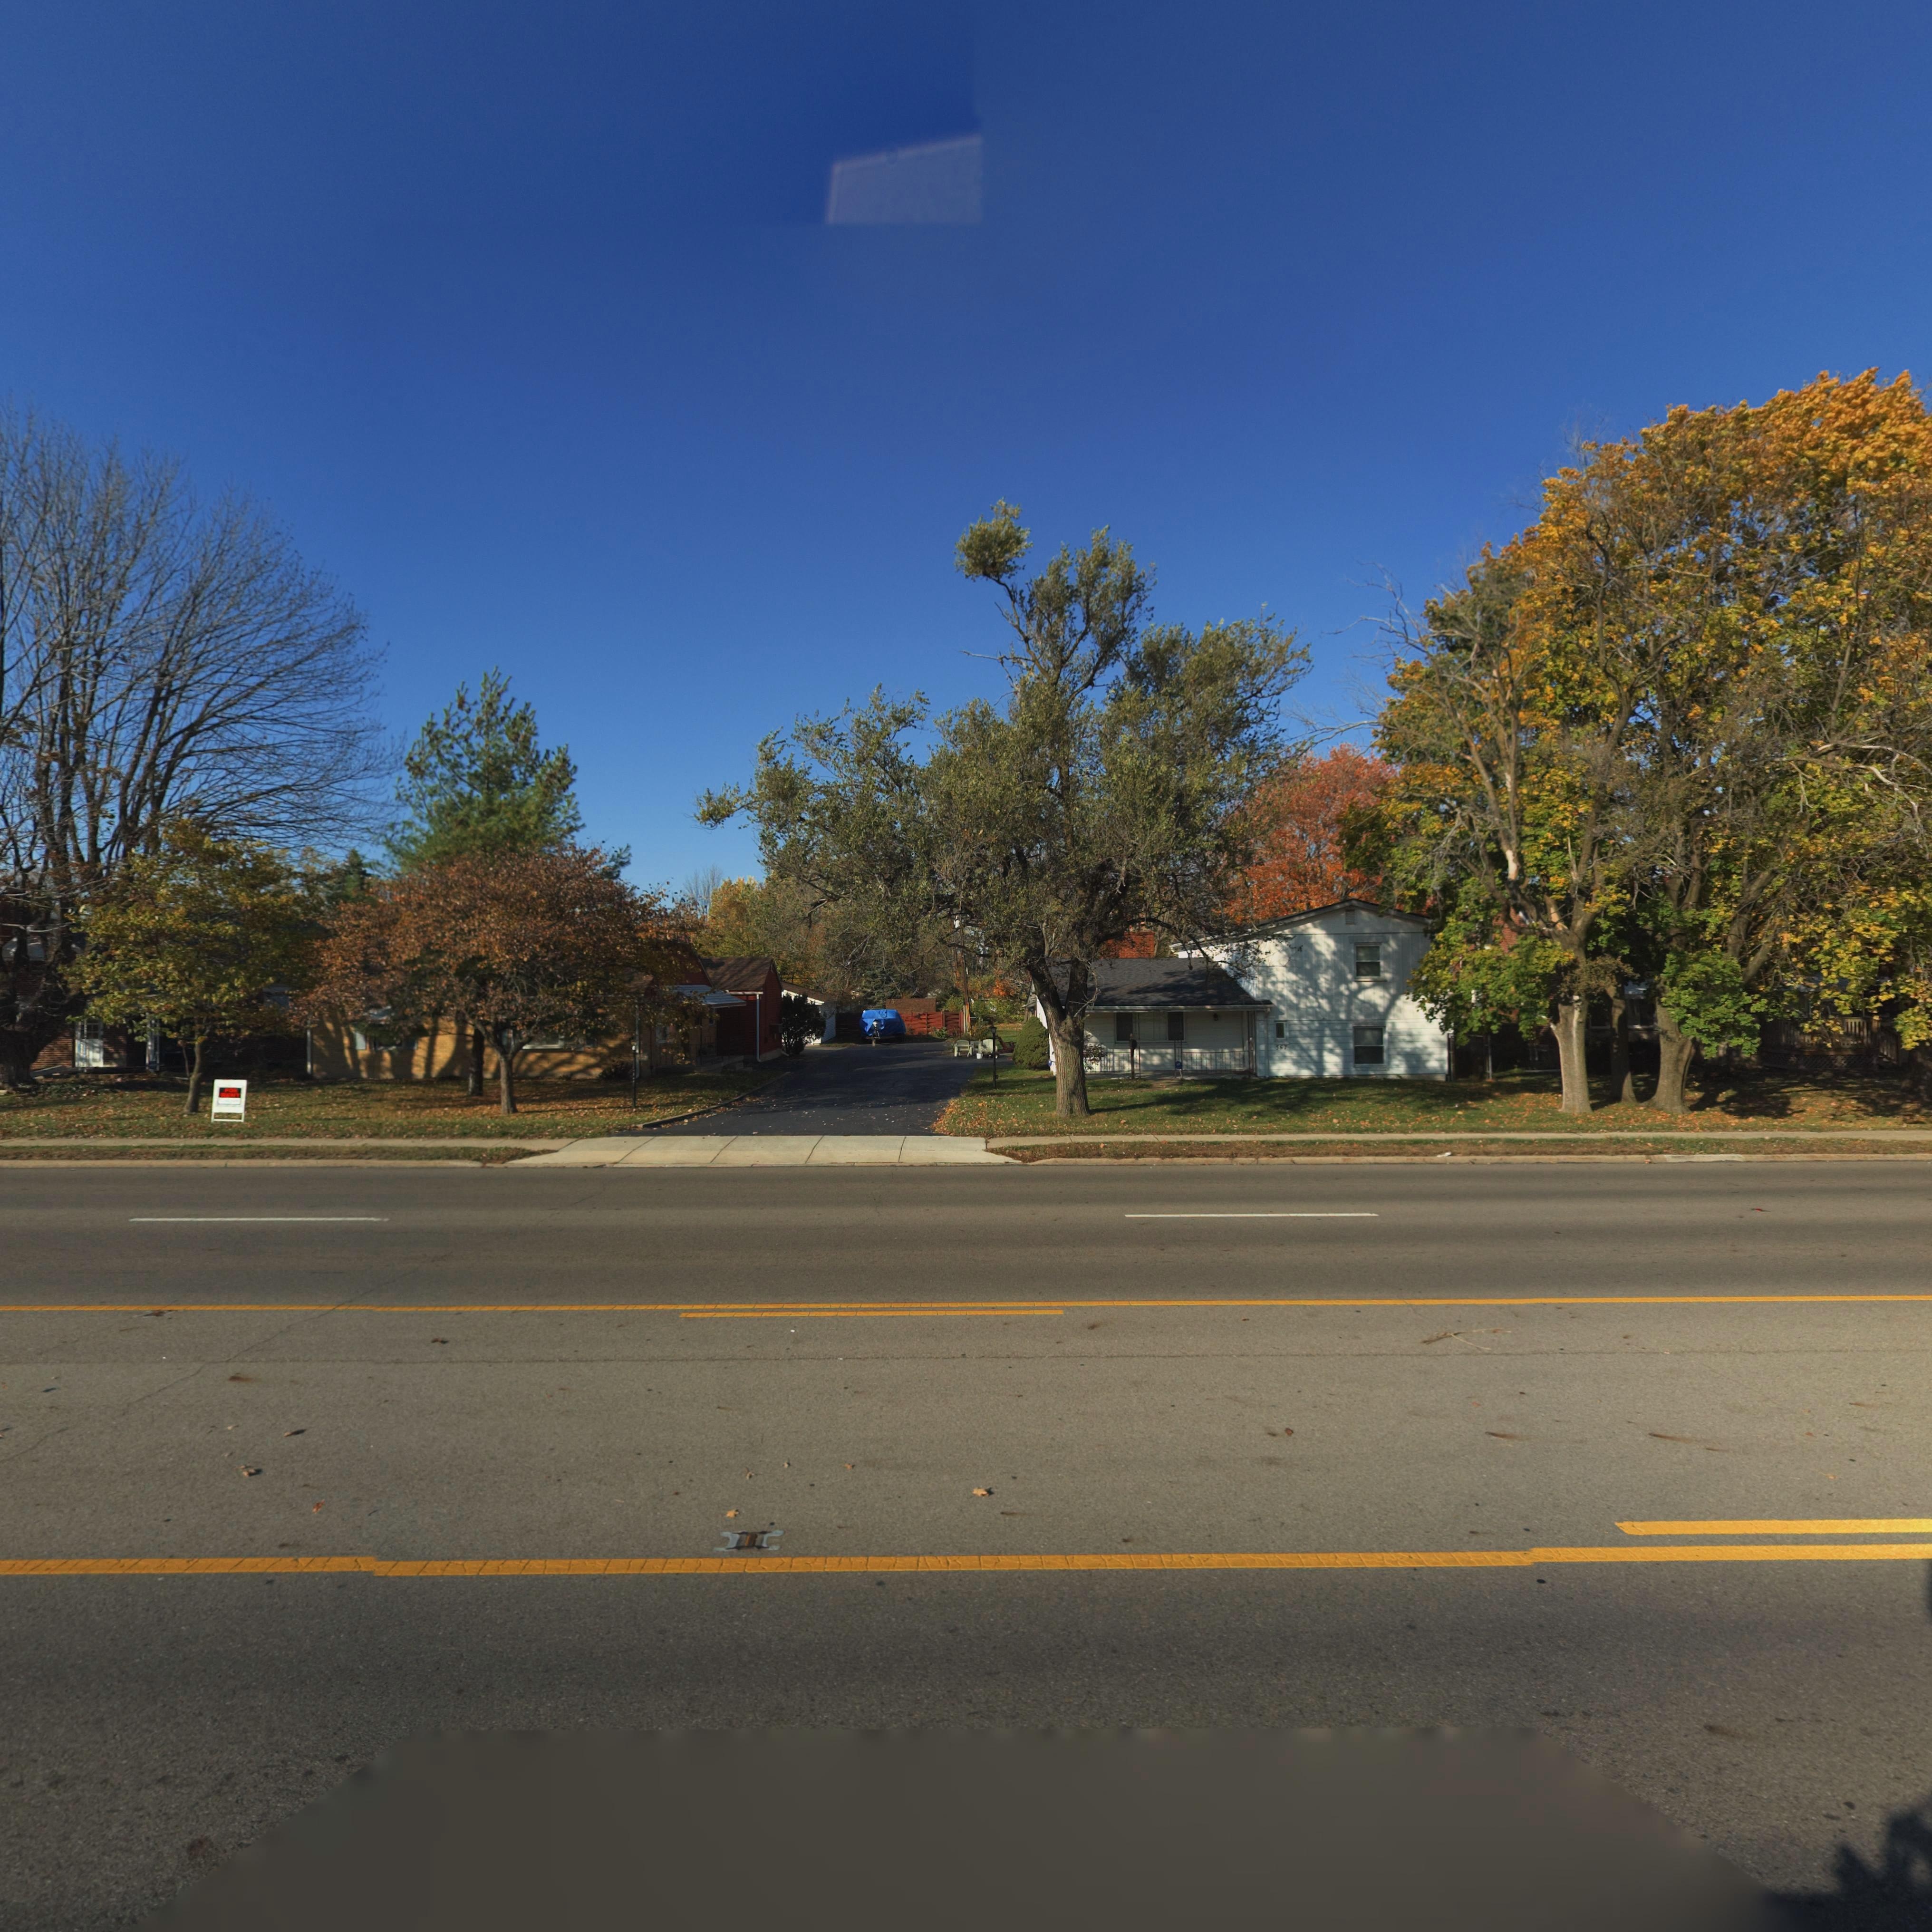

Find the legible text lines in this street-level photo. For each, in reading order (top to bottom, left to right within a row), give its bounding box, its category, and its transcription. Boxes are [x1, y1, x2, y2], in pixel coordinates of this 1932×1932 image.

[1275, 1044, 1287, 1051] StreetNumber: 567